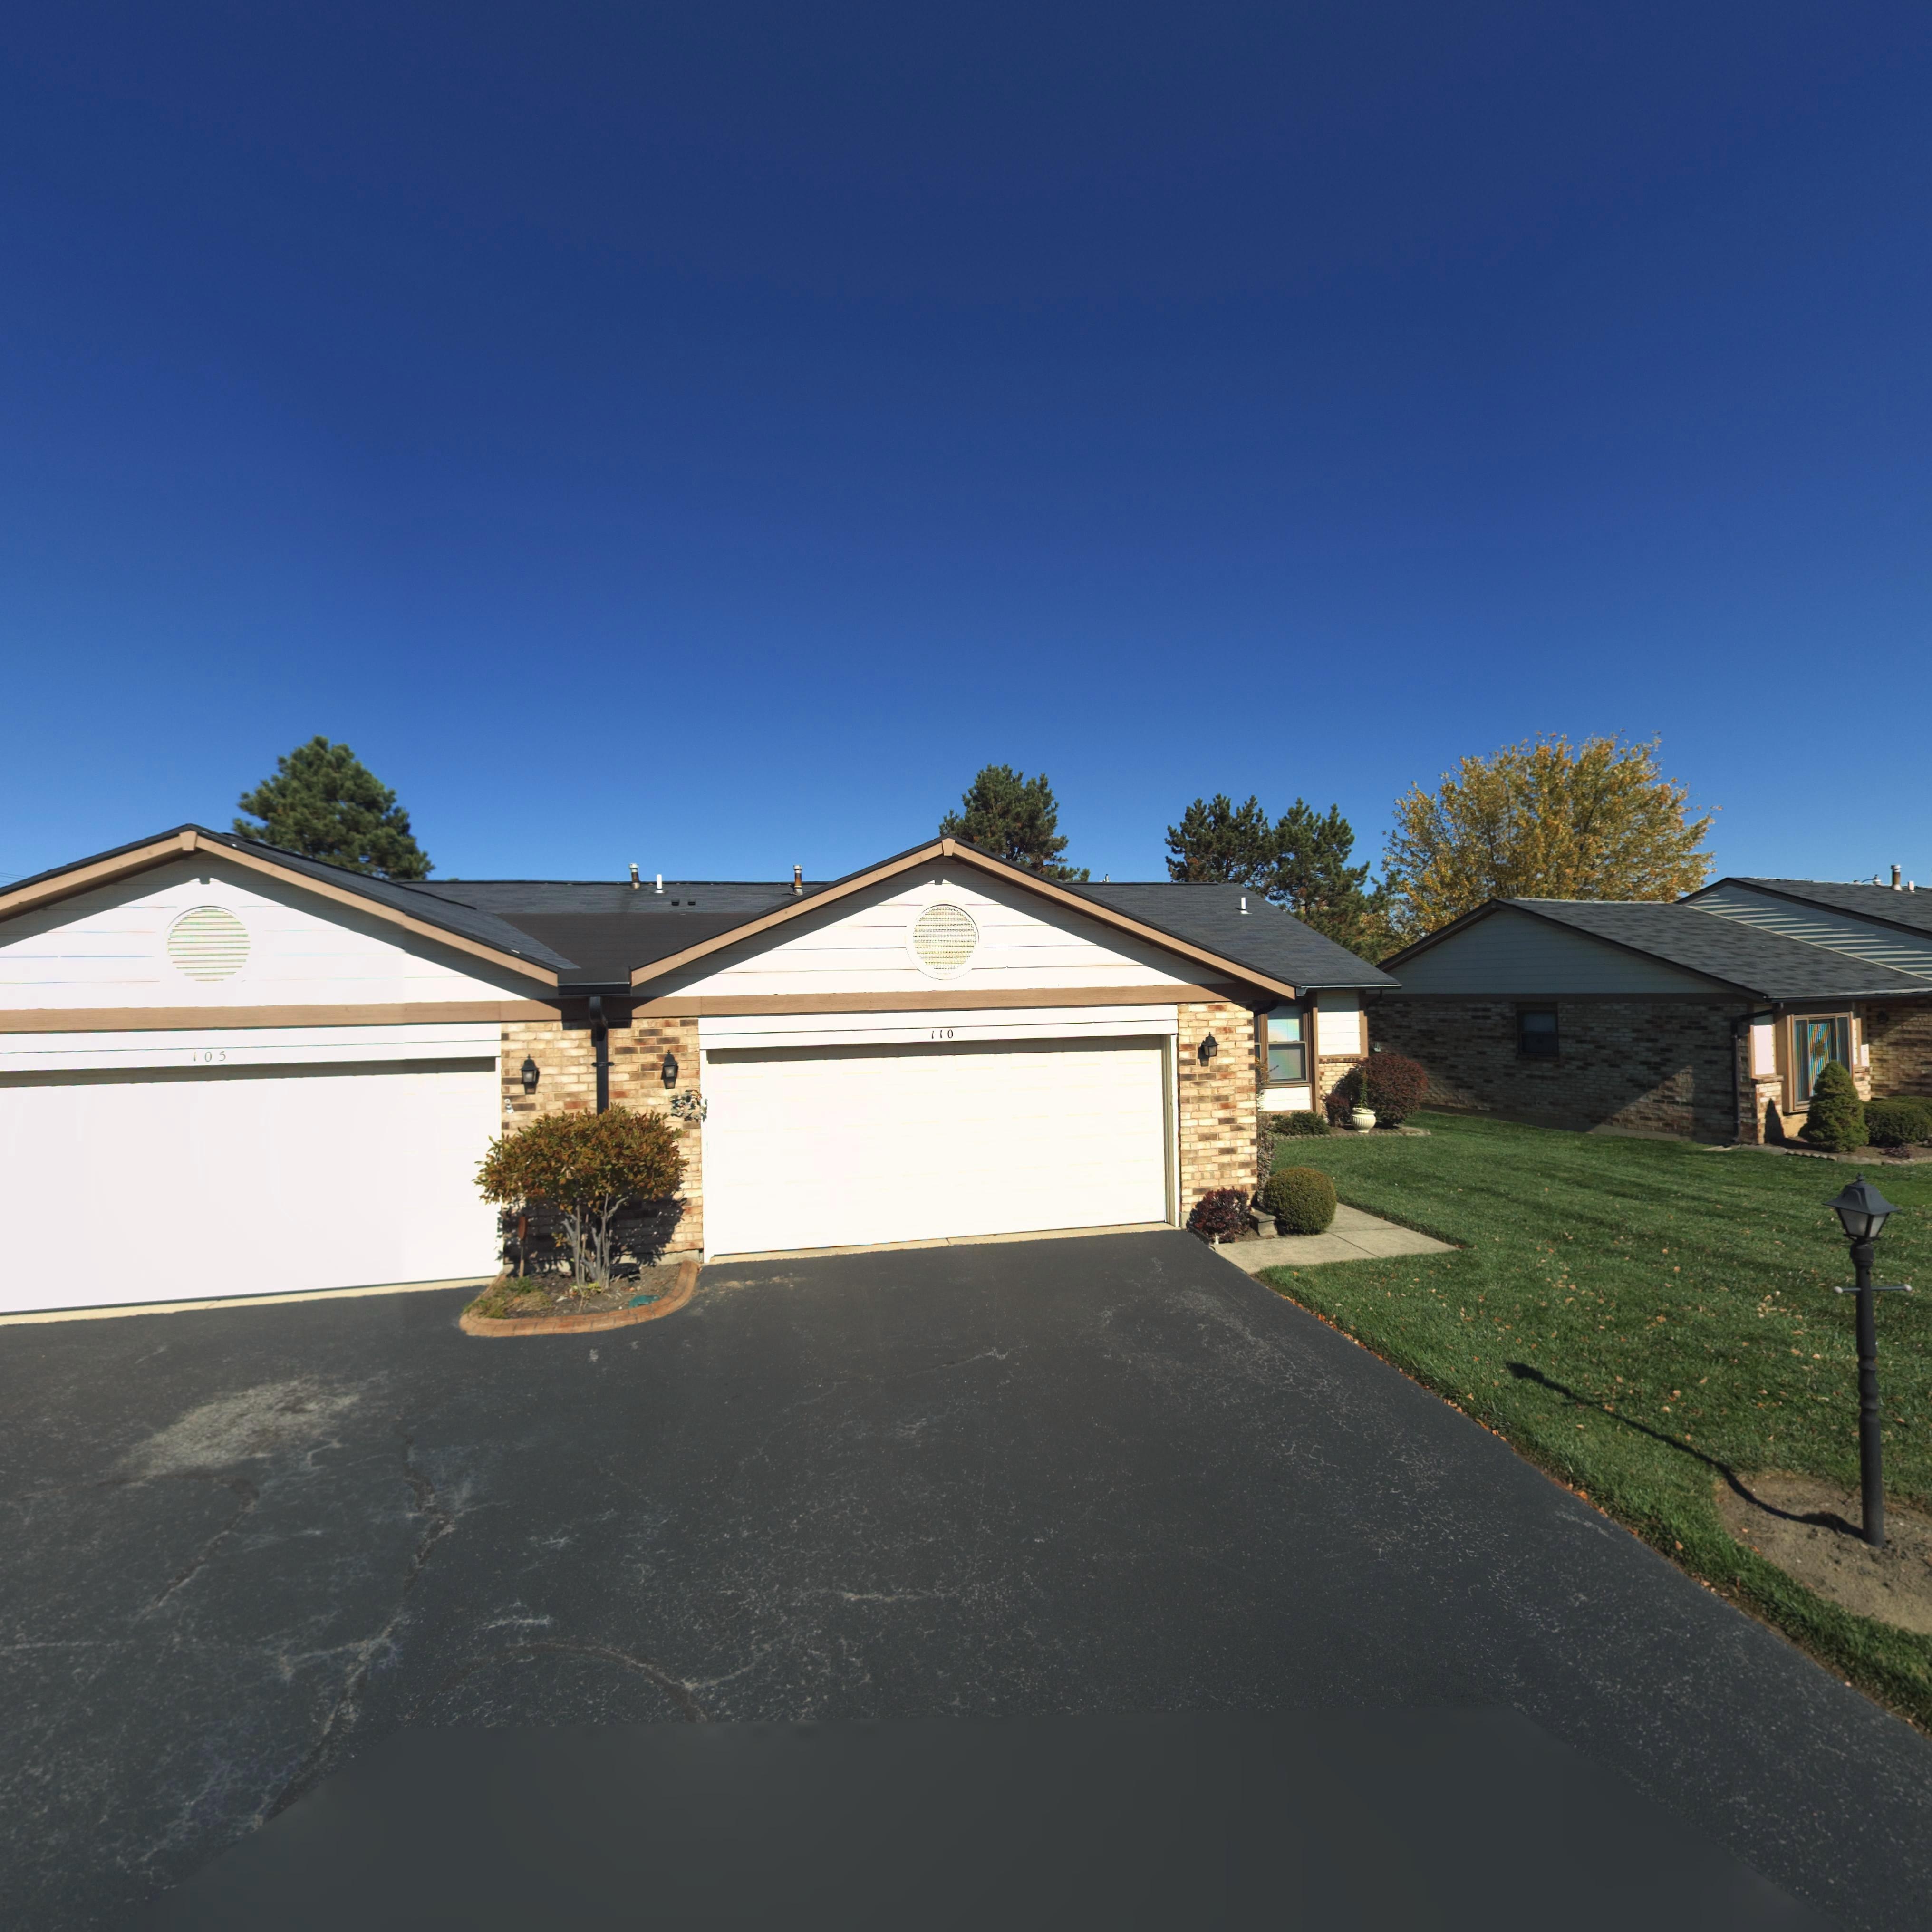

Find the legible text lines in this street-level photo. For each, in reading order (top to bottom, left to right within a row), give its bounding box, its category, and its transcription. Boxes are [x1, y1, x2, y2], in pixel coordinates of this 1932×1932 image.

[930, 1028, 955, 1041] StreetNumber: 110
[192, 1049, 227, 1063] StreetNumber: 105